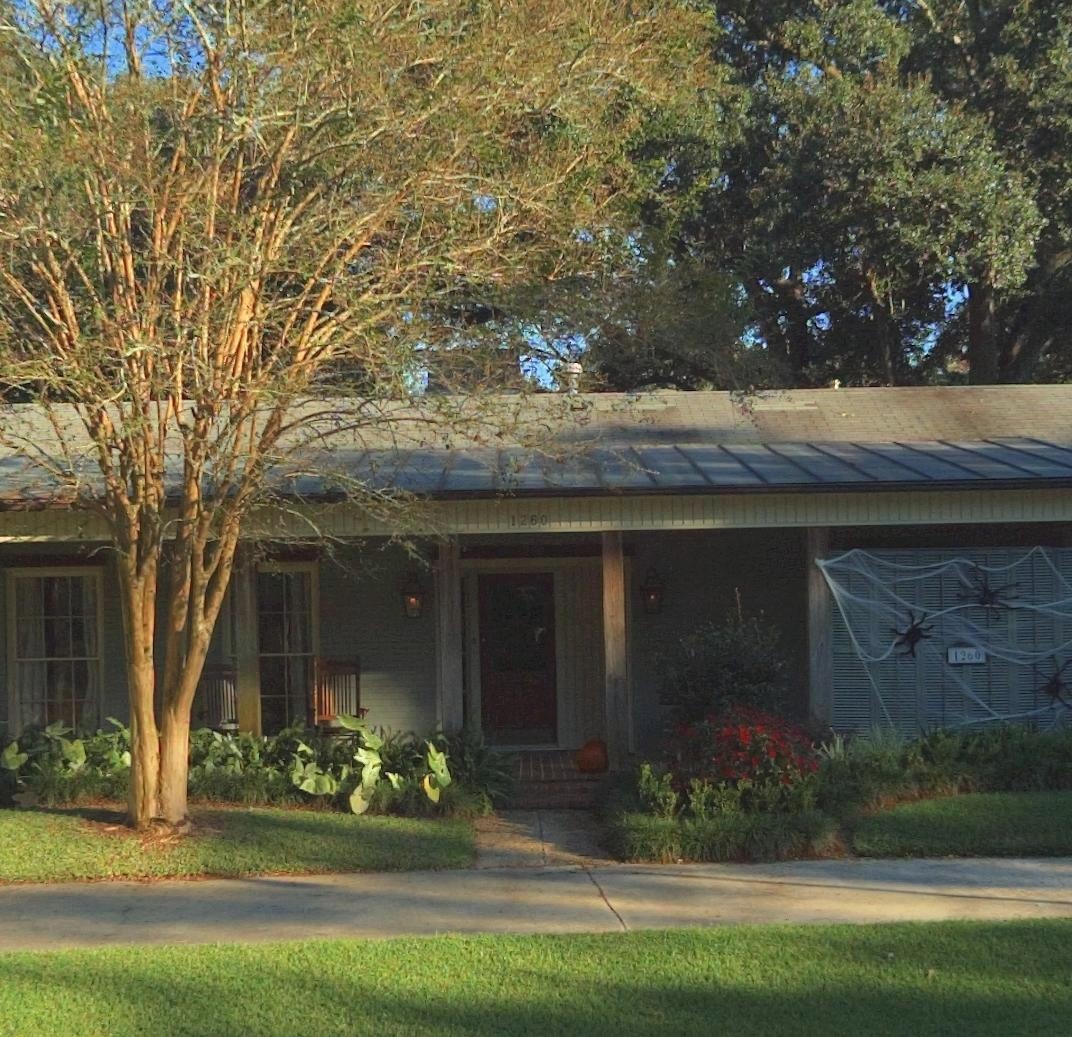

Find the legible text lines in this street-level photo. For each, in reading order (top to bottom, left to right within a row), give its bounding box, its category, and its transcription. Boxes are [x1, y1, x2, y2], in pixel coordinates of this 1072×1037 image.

[508, 512, 550, 528] StreetNumber: 1260
[951, 648, 983, 663] StreetNumber: 1260